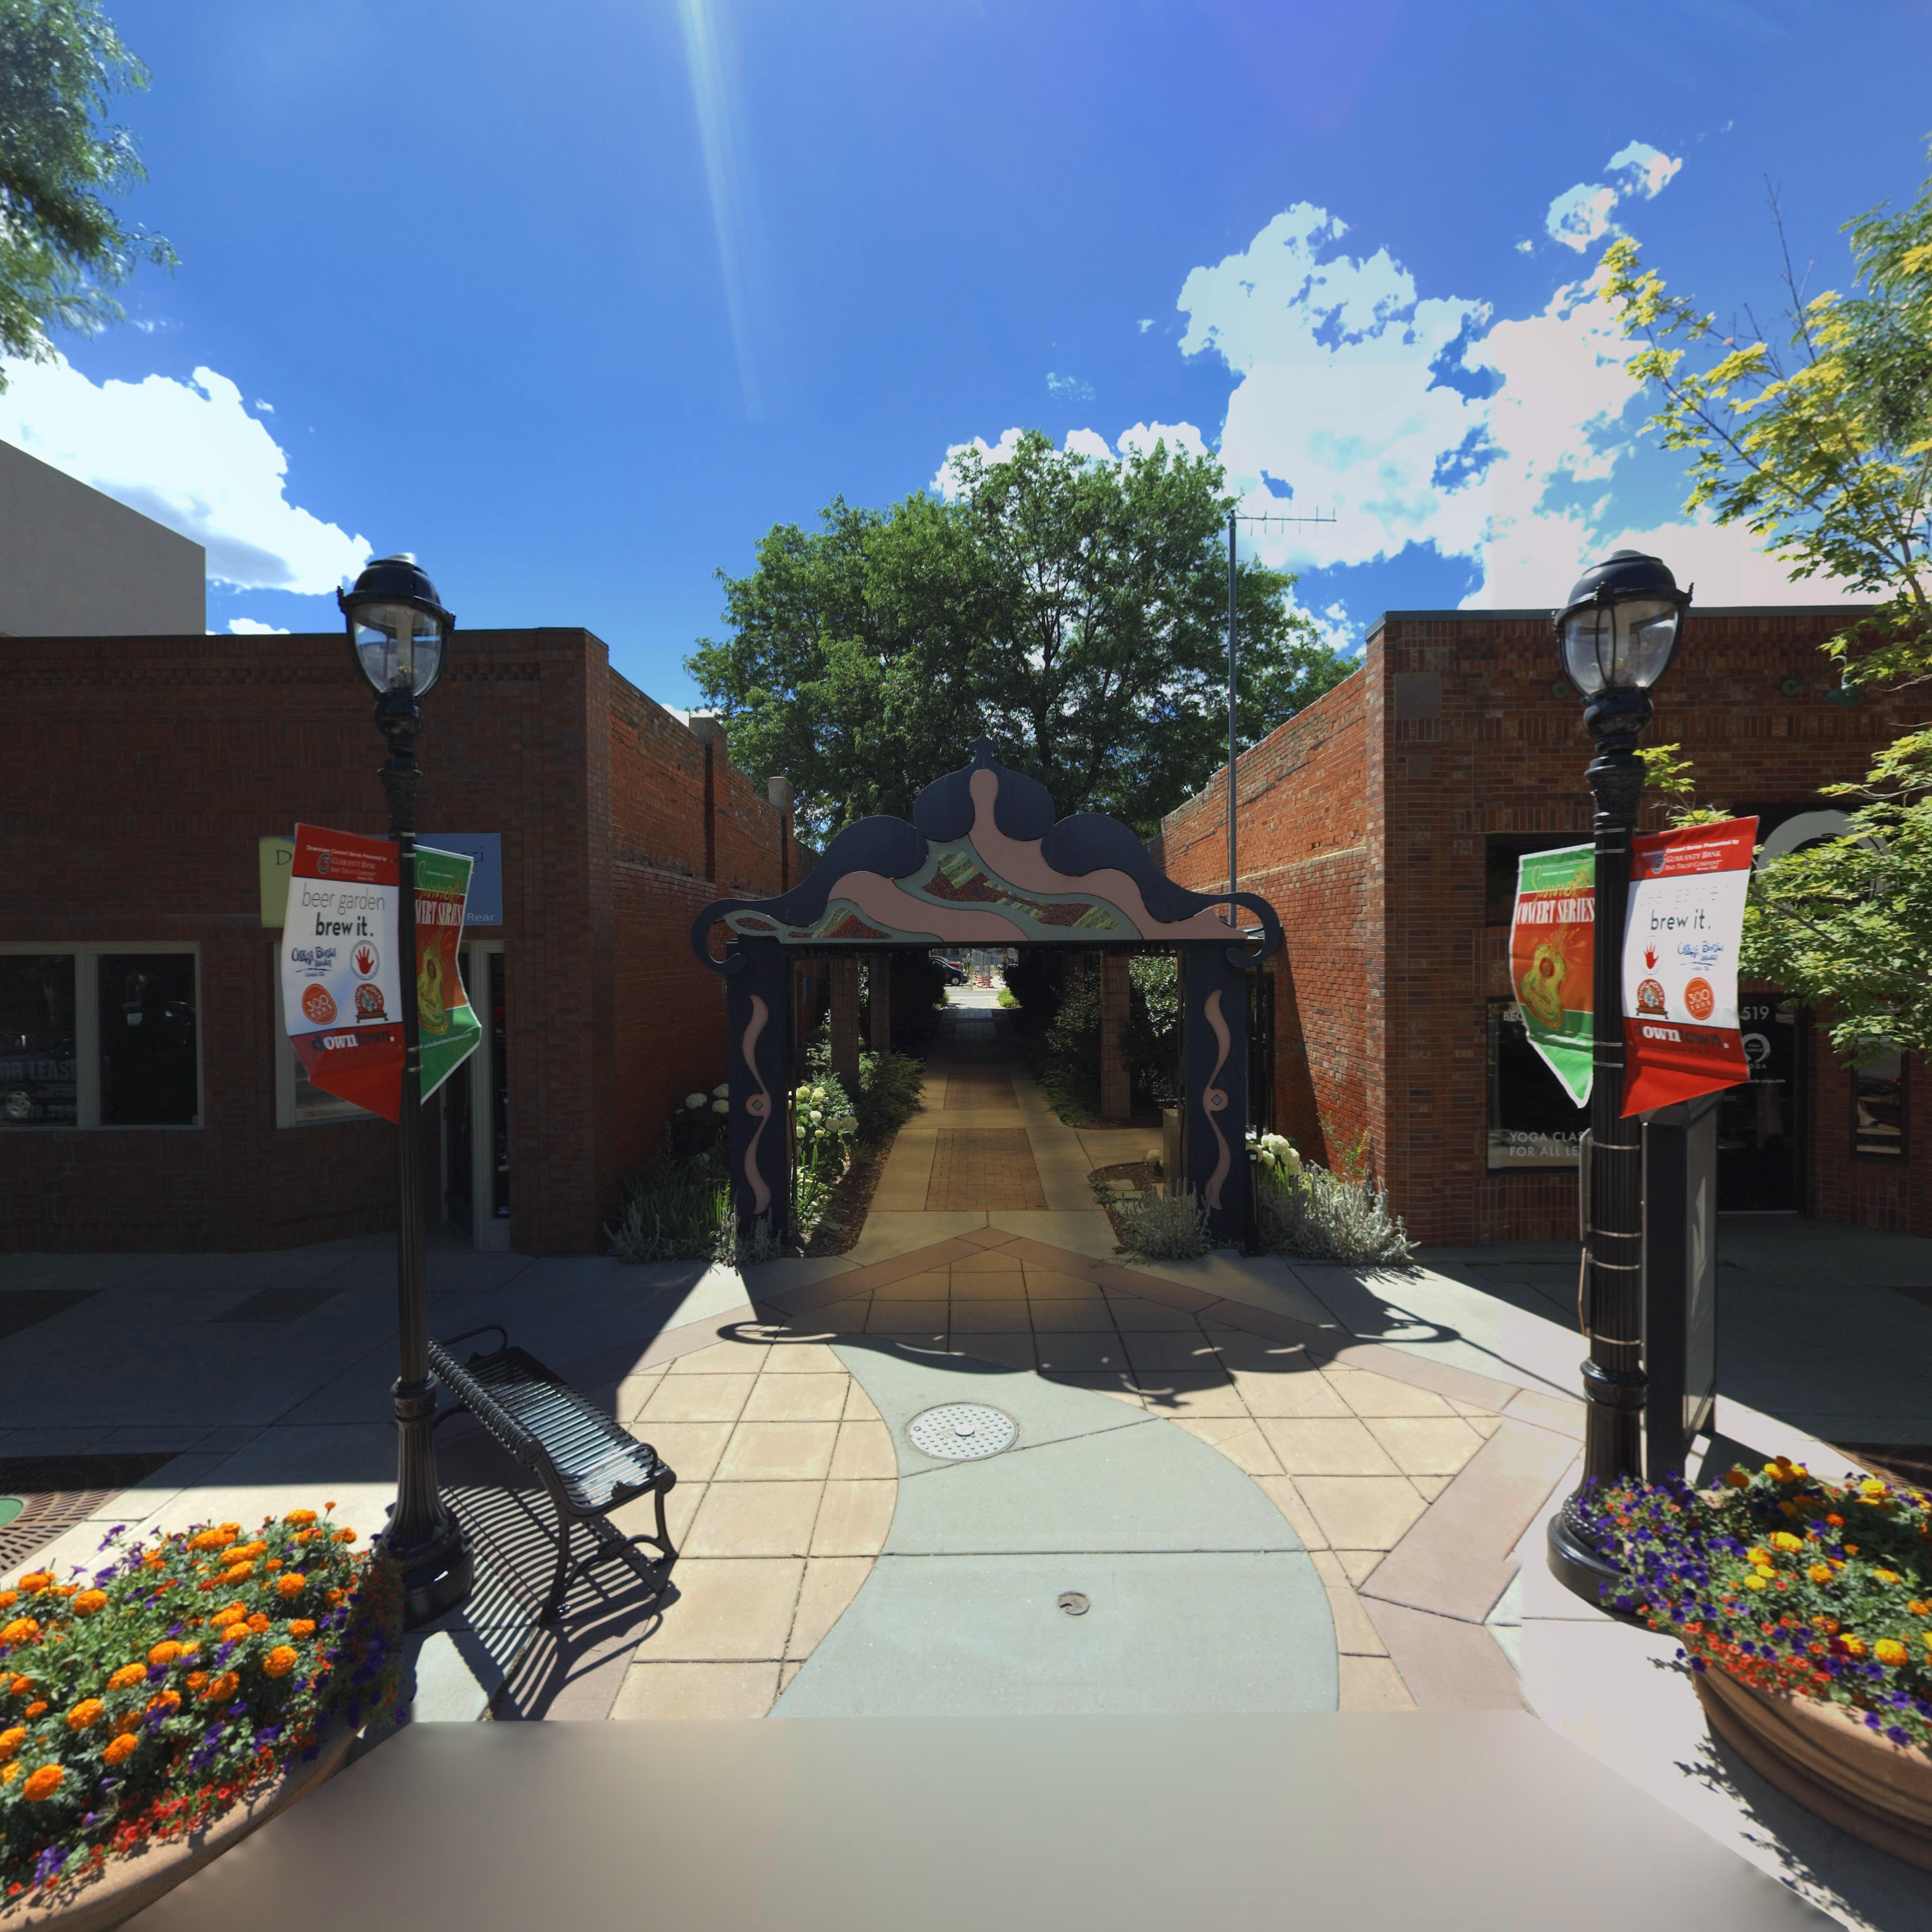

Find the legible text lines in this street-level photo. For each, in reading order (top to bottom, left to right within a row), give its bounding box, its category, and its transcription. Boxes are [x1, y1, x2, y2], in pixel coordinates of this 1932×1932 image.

[1741, 1005, 1769, 1020] StreetNumber: *19
[1749, 1063, 1767, 1069] BusinessName: *GA